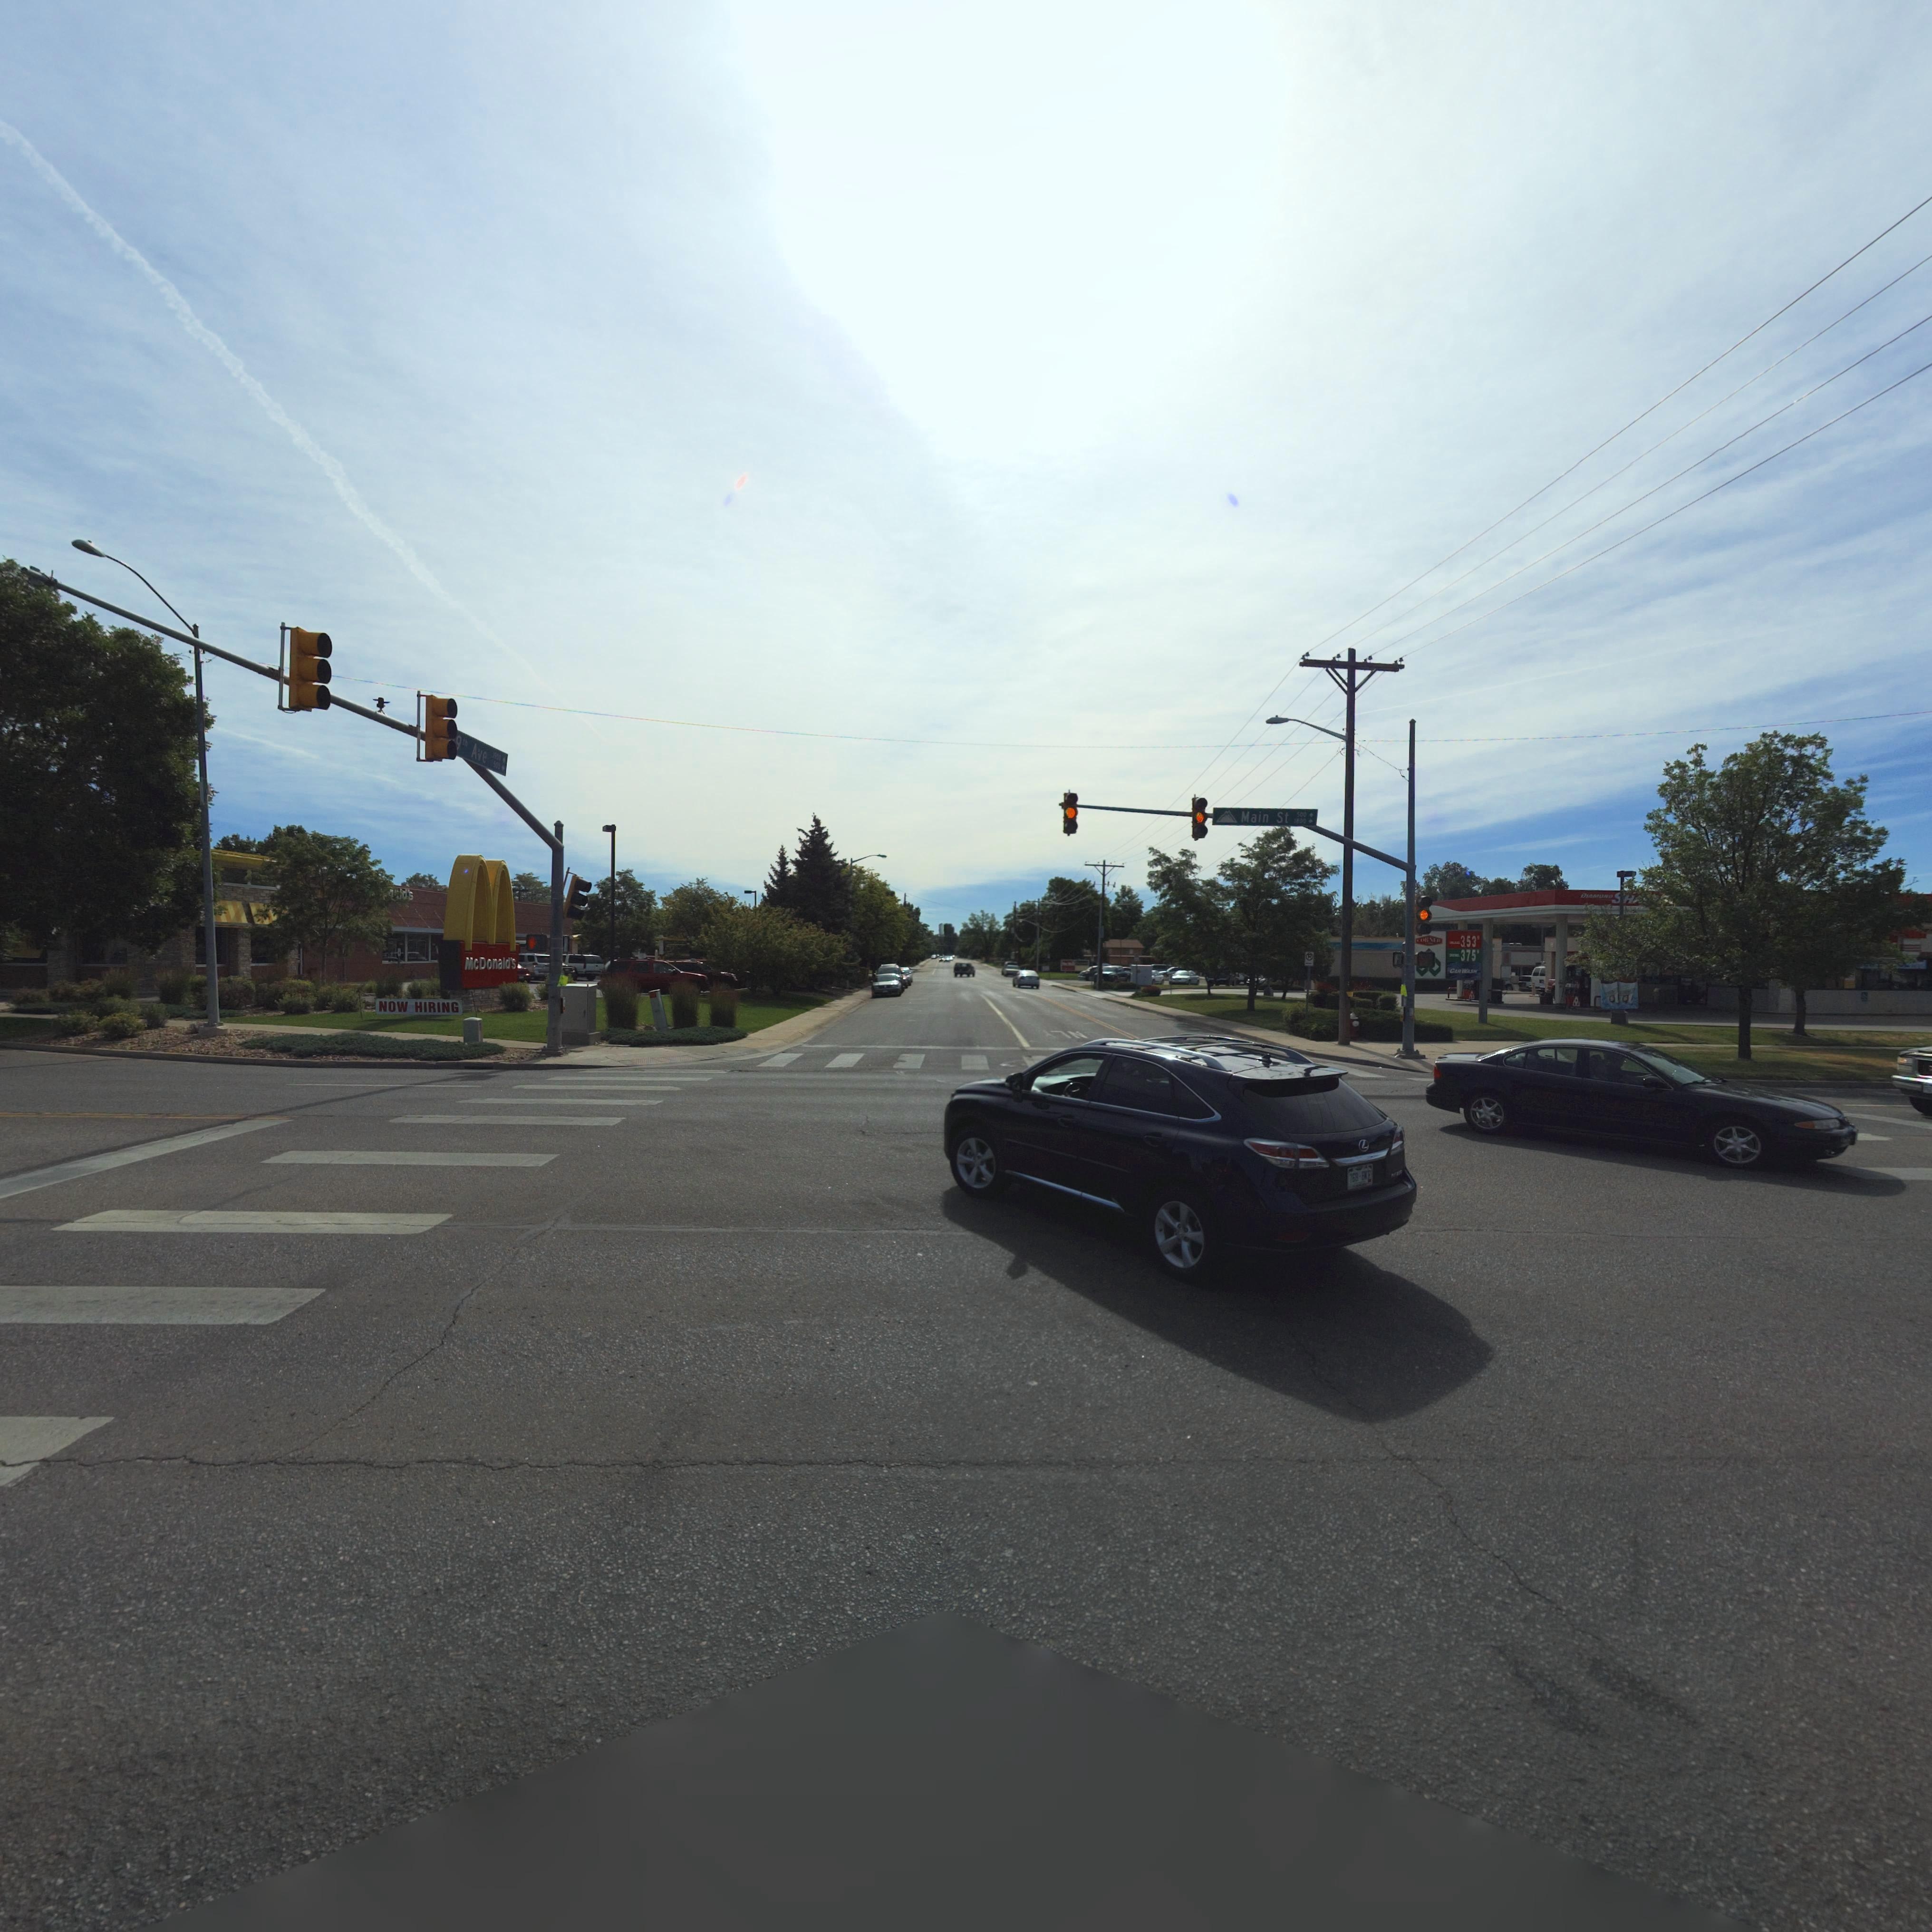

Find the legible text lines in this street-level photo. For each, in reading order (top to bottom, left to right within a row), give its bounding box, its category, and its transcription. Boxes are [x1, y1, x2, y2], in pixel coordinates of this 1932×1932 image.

[455, 733, 488, 764] StreetName: 9th Ave
[492, 751, 502, 762] StreetNumberRange: 1500
[492, 760, 506, 771] StreetNumberRange: 500 ->
[1240, 810, 1289, 823] StreetName: Main St
[1296, 811, 1307, 817] StreetNumberRange: 500
[1294, 818, 1314, 824] StreetNumberRange: 1800 ->
[395, 889, 415, 900] BusinessName: *ld's
[1579, 892, 1613, 898] BusinessName: DIAMOND
[1610, 891, 1642, 904] BusinessName: SH*
[1417, 936, 1440, 943] BusinessName: CORNER
[464, 956, 517, 971] BusinessName: McDonald's